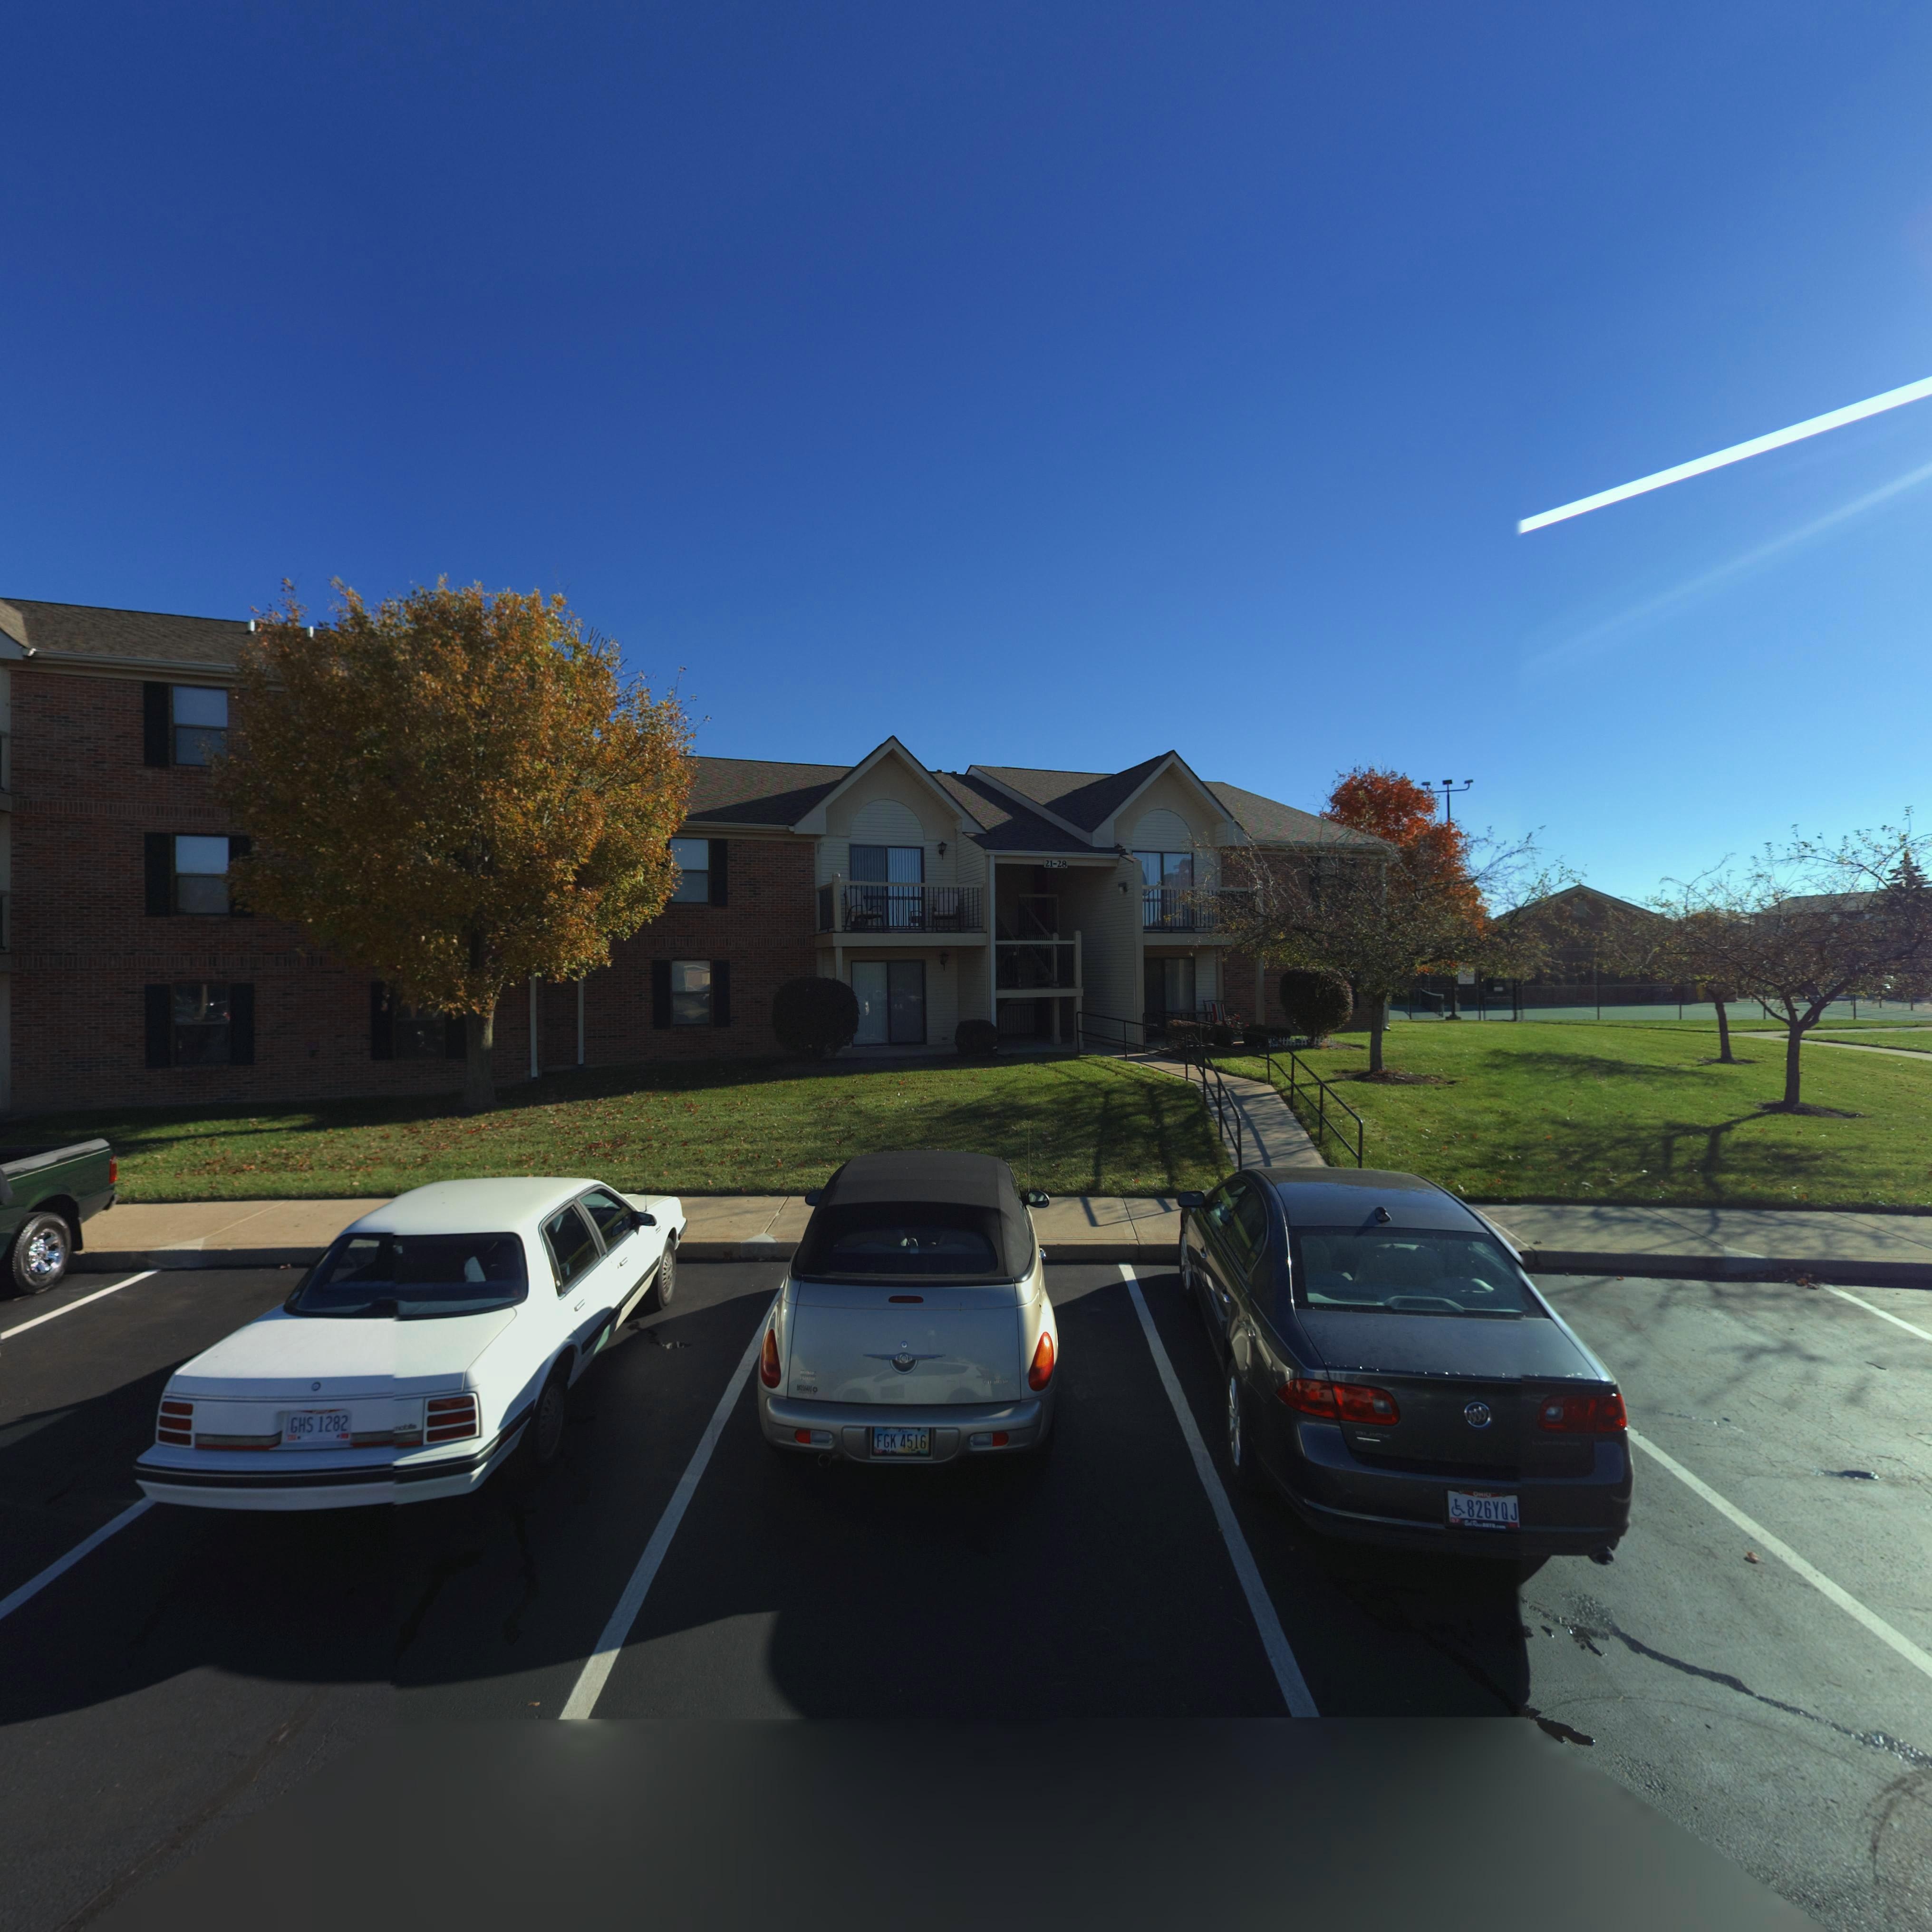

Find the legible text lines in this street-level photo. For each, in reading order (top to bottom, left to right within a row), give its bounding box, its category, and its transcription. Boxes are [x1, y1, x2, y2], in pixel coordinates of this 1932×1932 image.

[1044, 859, 1067, 868] StreetNumber: 21-28